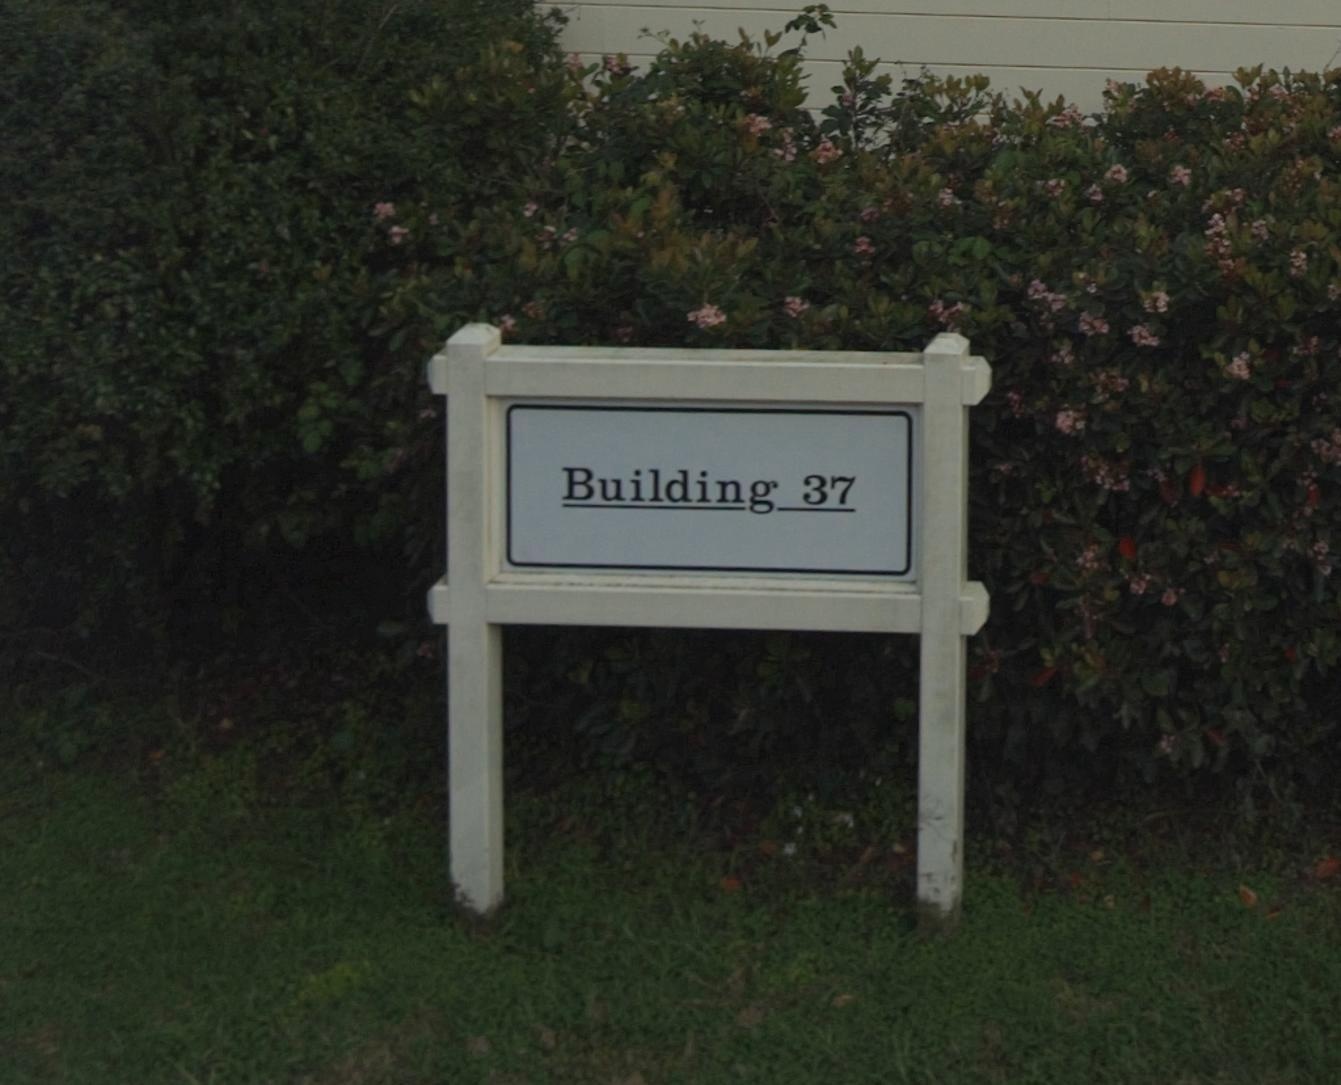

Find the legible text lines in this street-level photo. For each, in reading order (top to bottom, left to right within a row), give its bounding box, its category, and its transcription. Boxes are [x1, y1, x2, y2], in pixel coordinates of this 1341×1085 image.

[559, 464, 780, 515] None: Building
[799, 472, 859, 508] StreetNumber: 37